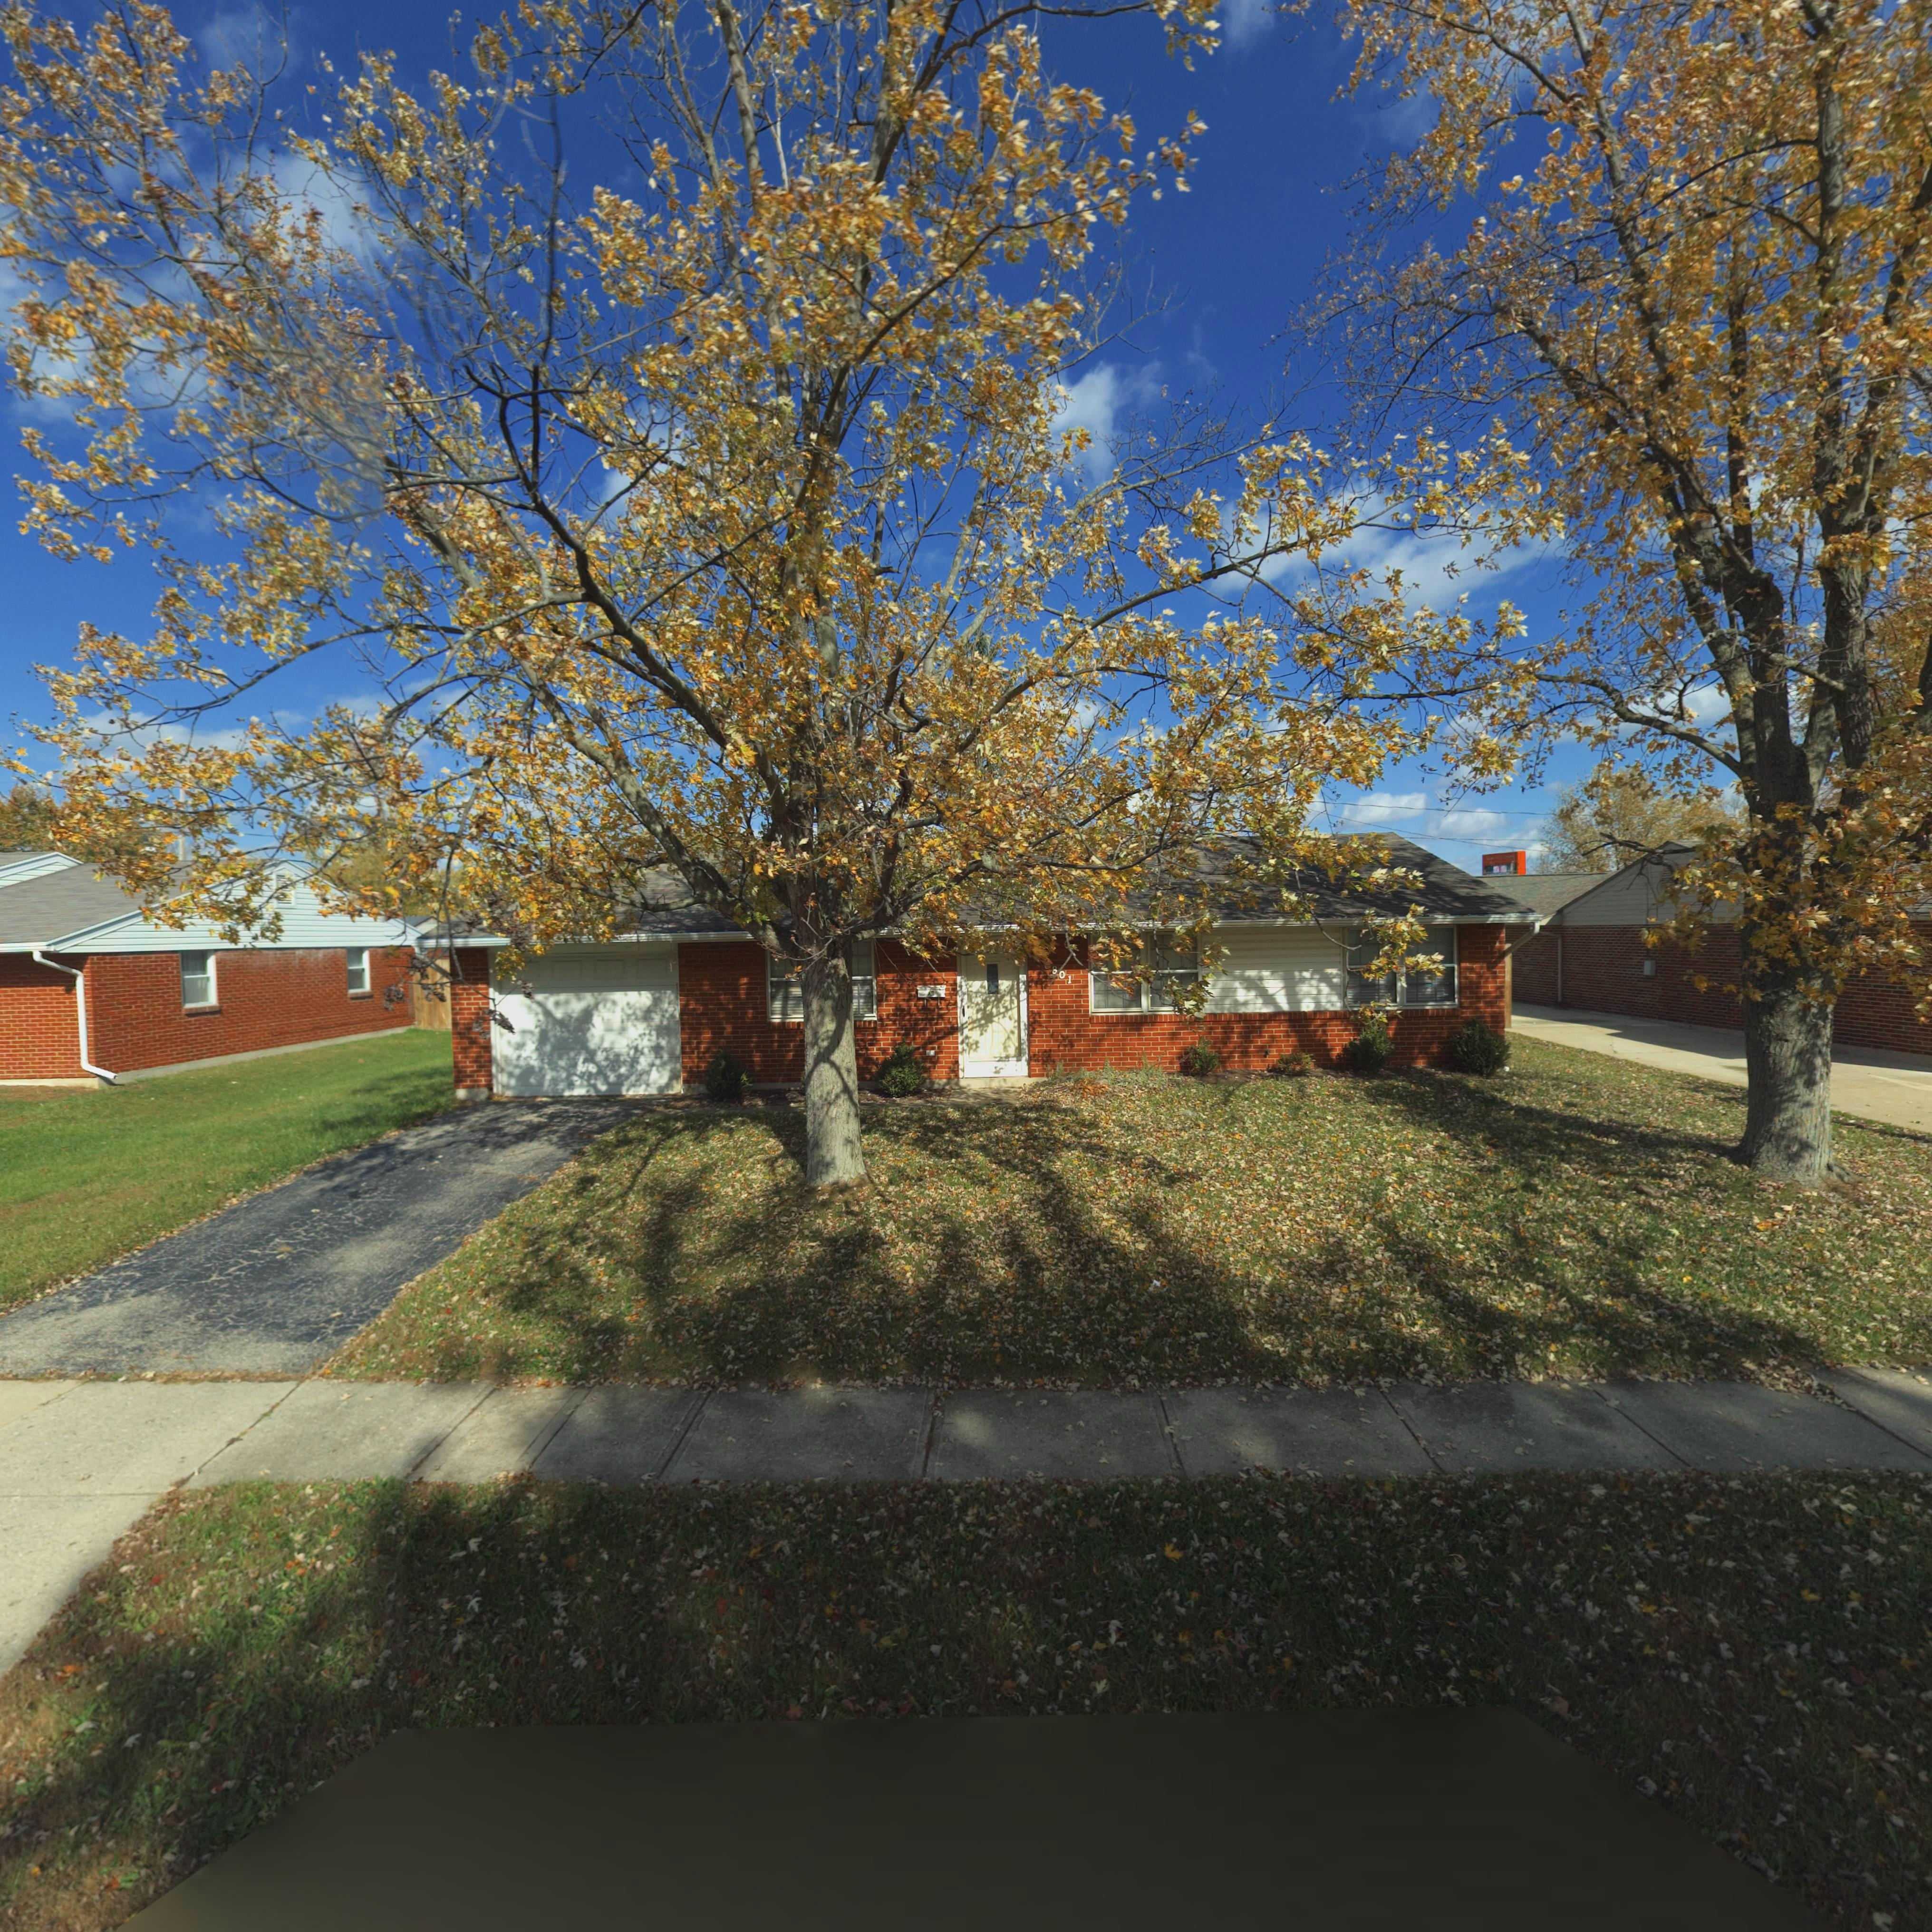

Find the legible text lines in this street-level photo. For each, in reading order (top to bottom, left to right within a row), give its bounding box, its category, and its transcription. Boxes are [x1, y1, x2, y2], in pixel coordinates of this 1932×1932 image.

[1052, 965, 1072, 985] StreetNumber: 801